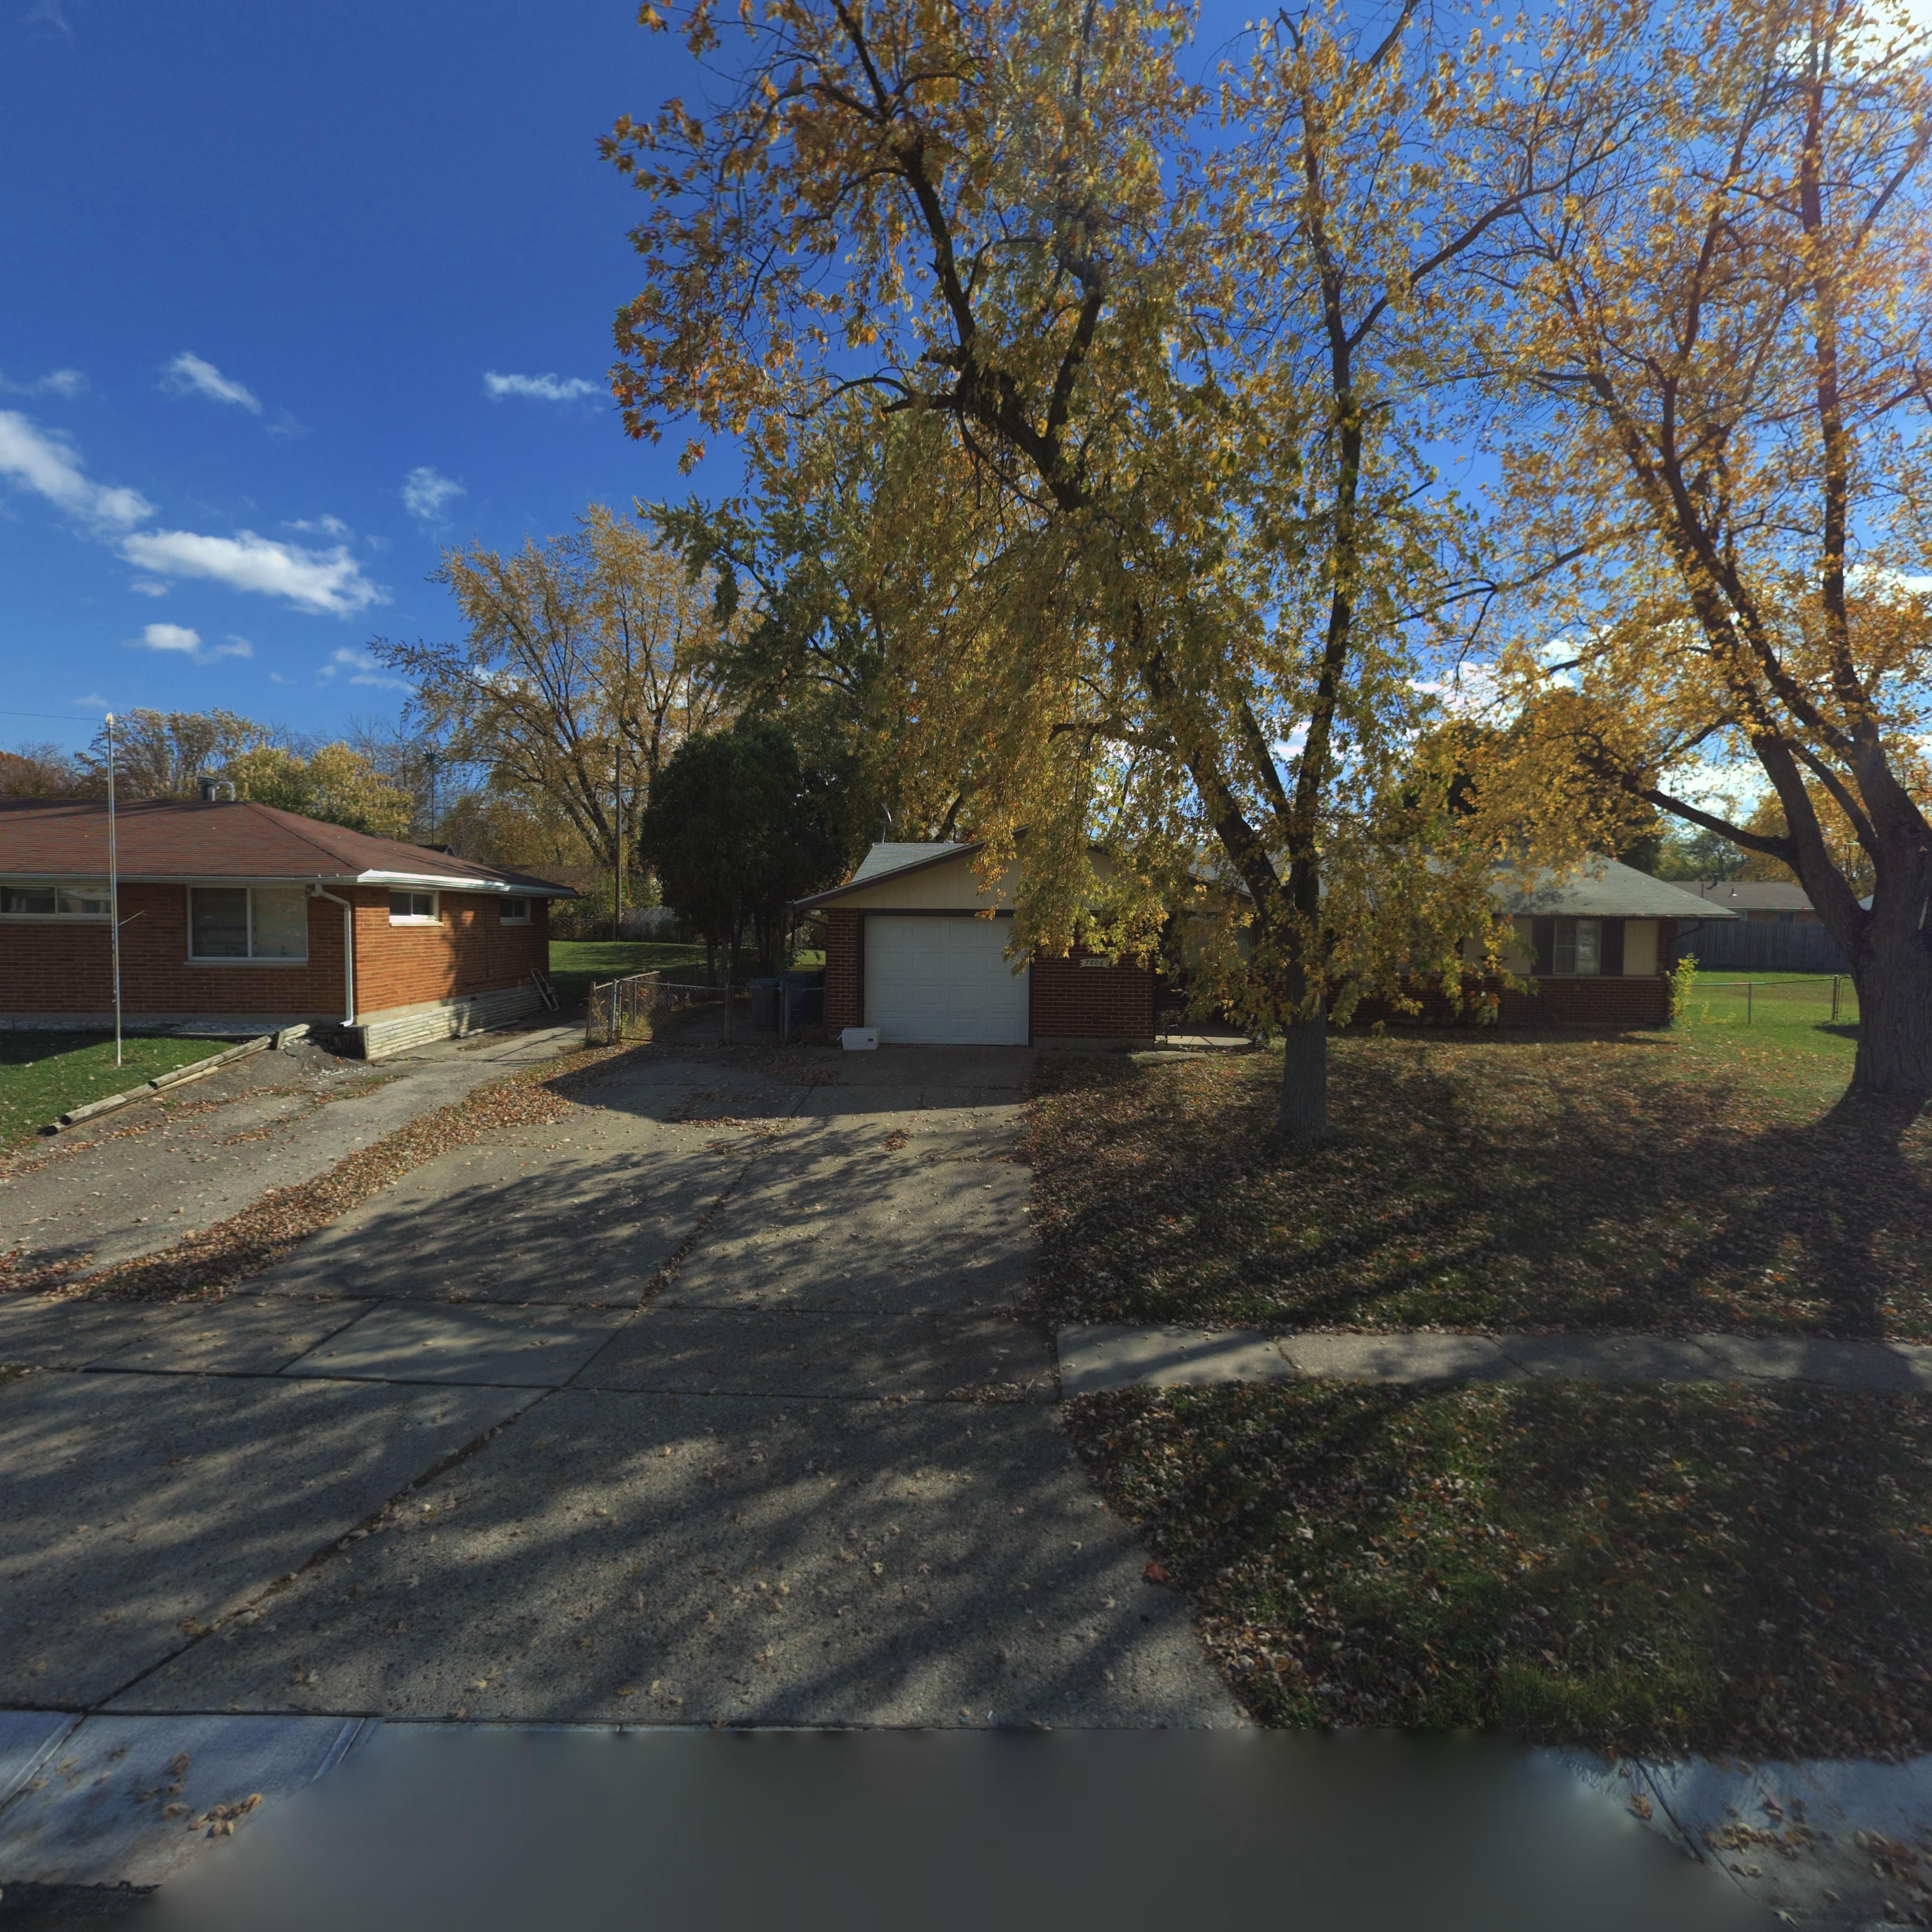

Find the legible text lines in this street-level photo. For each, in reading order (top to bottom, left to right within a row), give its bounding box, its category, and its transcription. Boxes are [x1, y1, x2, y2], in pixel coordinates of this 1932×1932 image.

[1084, 959, 1105, 966] StreetNumber: 7806